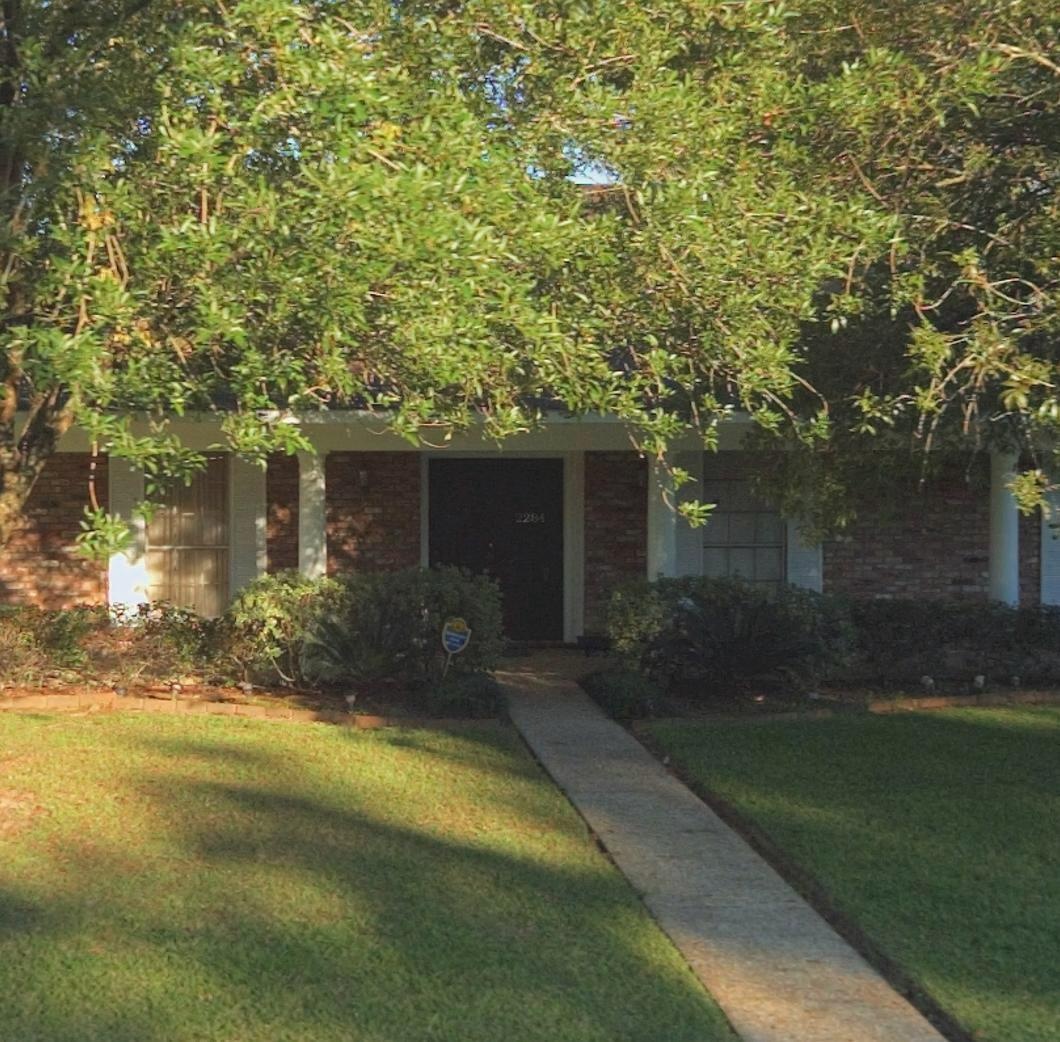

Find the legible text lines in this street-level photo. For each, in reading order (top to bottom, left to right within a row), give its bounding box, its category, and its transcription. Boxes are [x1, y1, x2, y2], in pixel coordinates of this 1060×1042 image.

[514, 511, 547, 524] StreetNumber: 2284